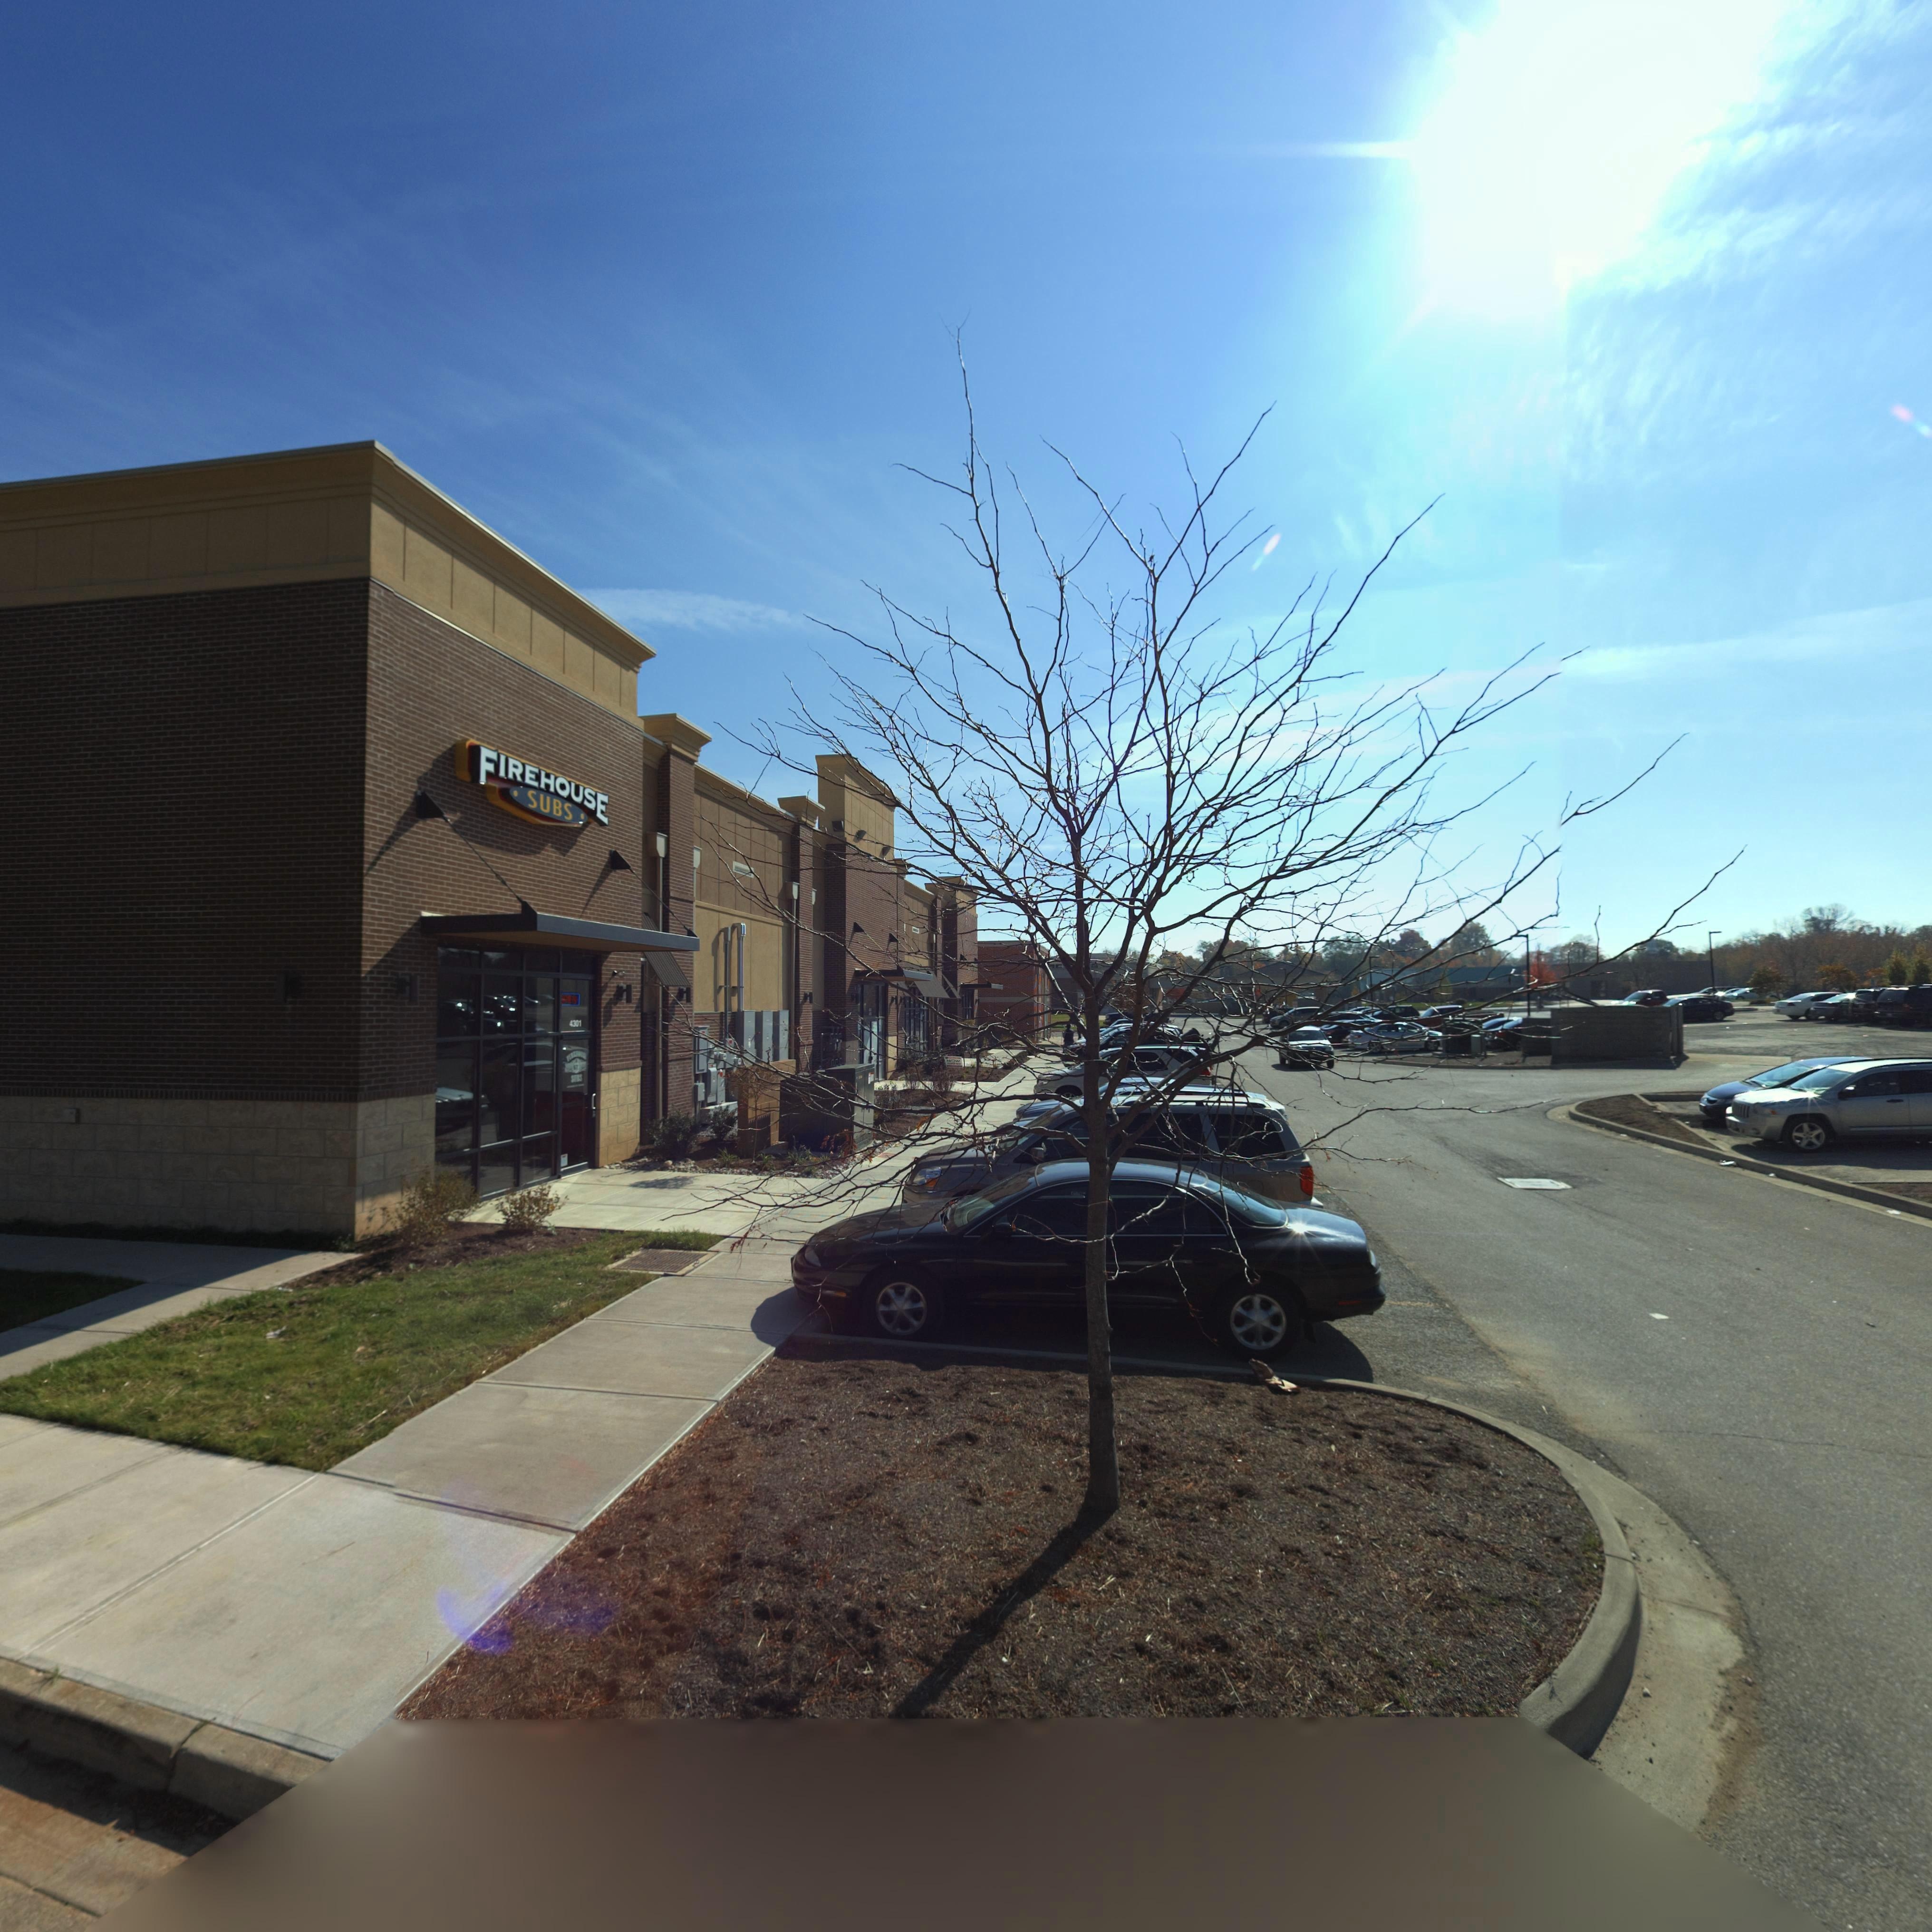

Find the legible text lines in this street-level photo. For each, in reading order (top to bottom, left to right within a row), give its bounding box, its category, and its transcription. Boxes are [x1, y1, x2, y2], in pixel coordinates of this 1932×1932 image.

[478, 744, 609, 826] BusinessName: FIREHOUSE
[527, 789, 574, 822] BusinessName: SUBS
[568, 1019, 583, 1029] StreetNumber: 4301